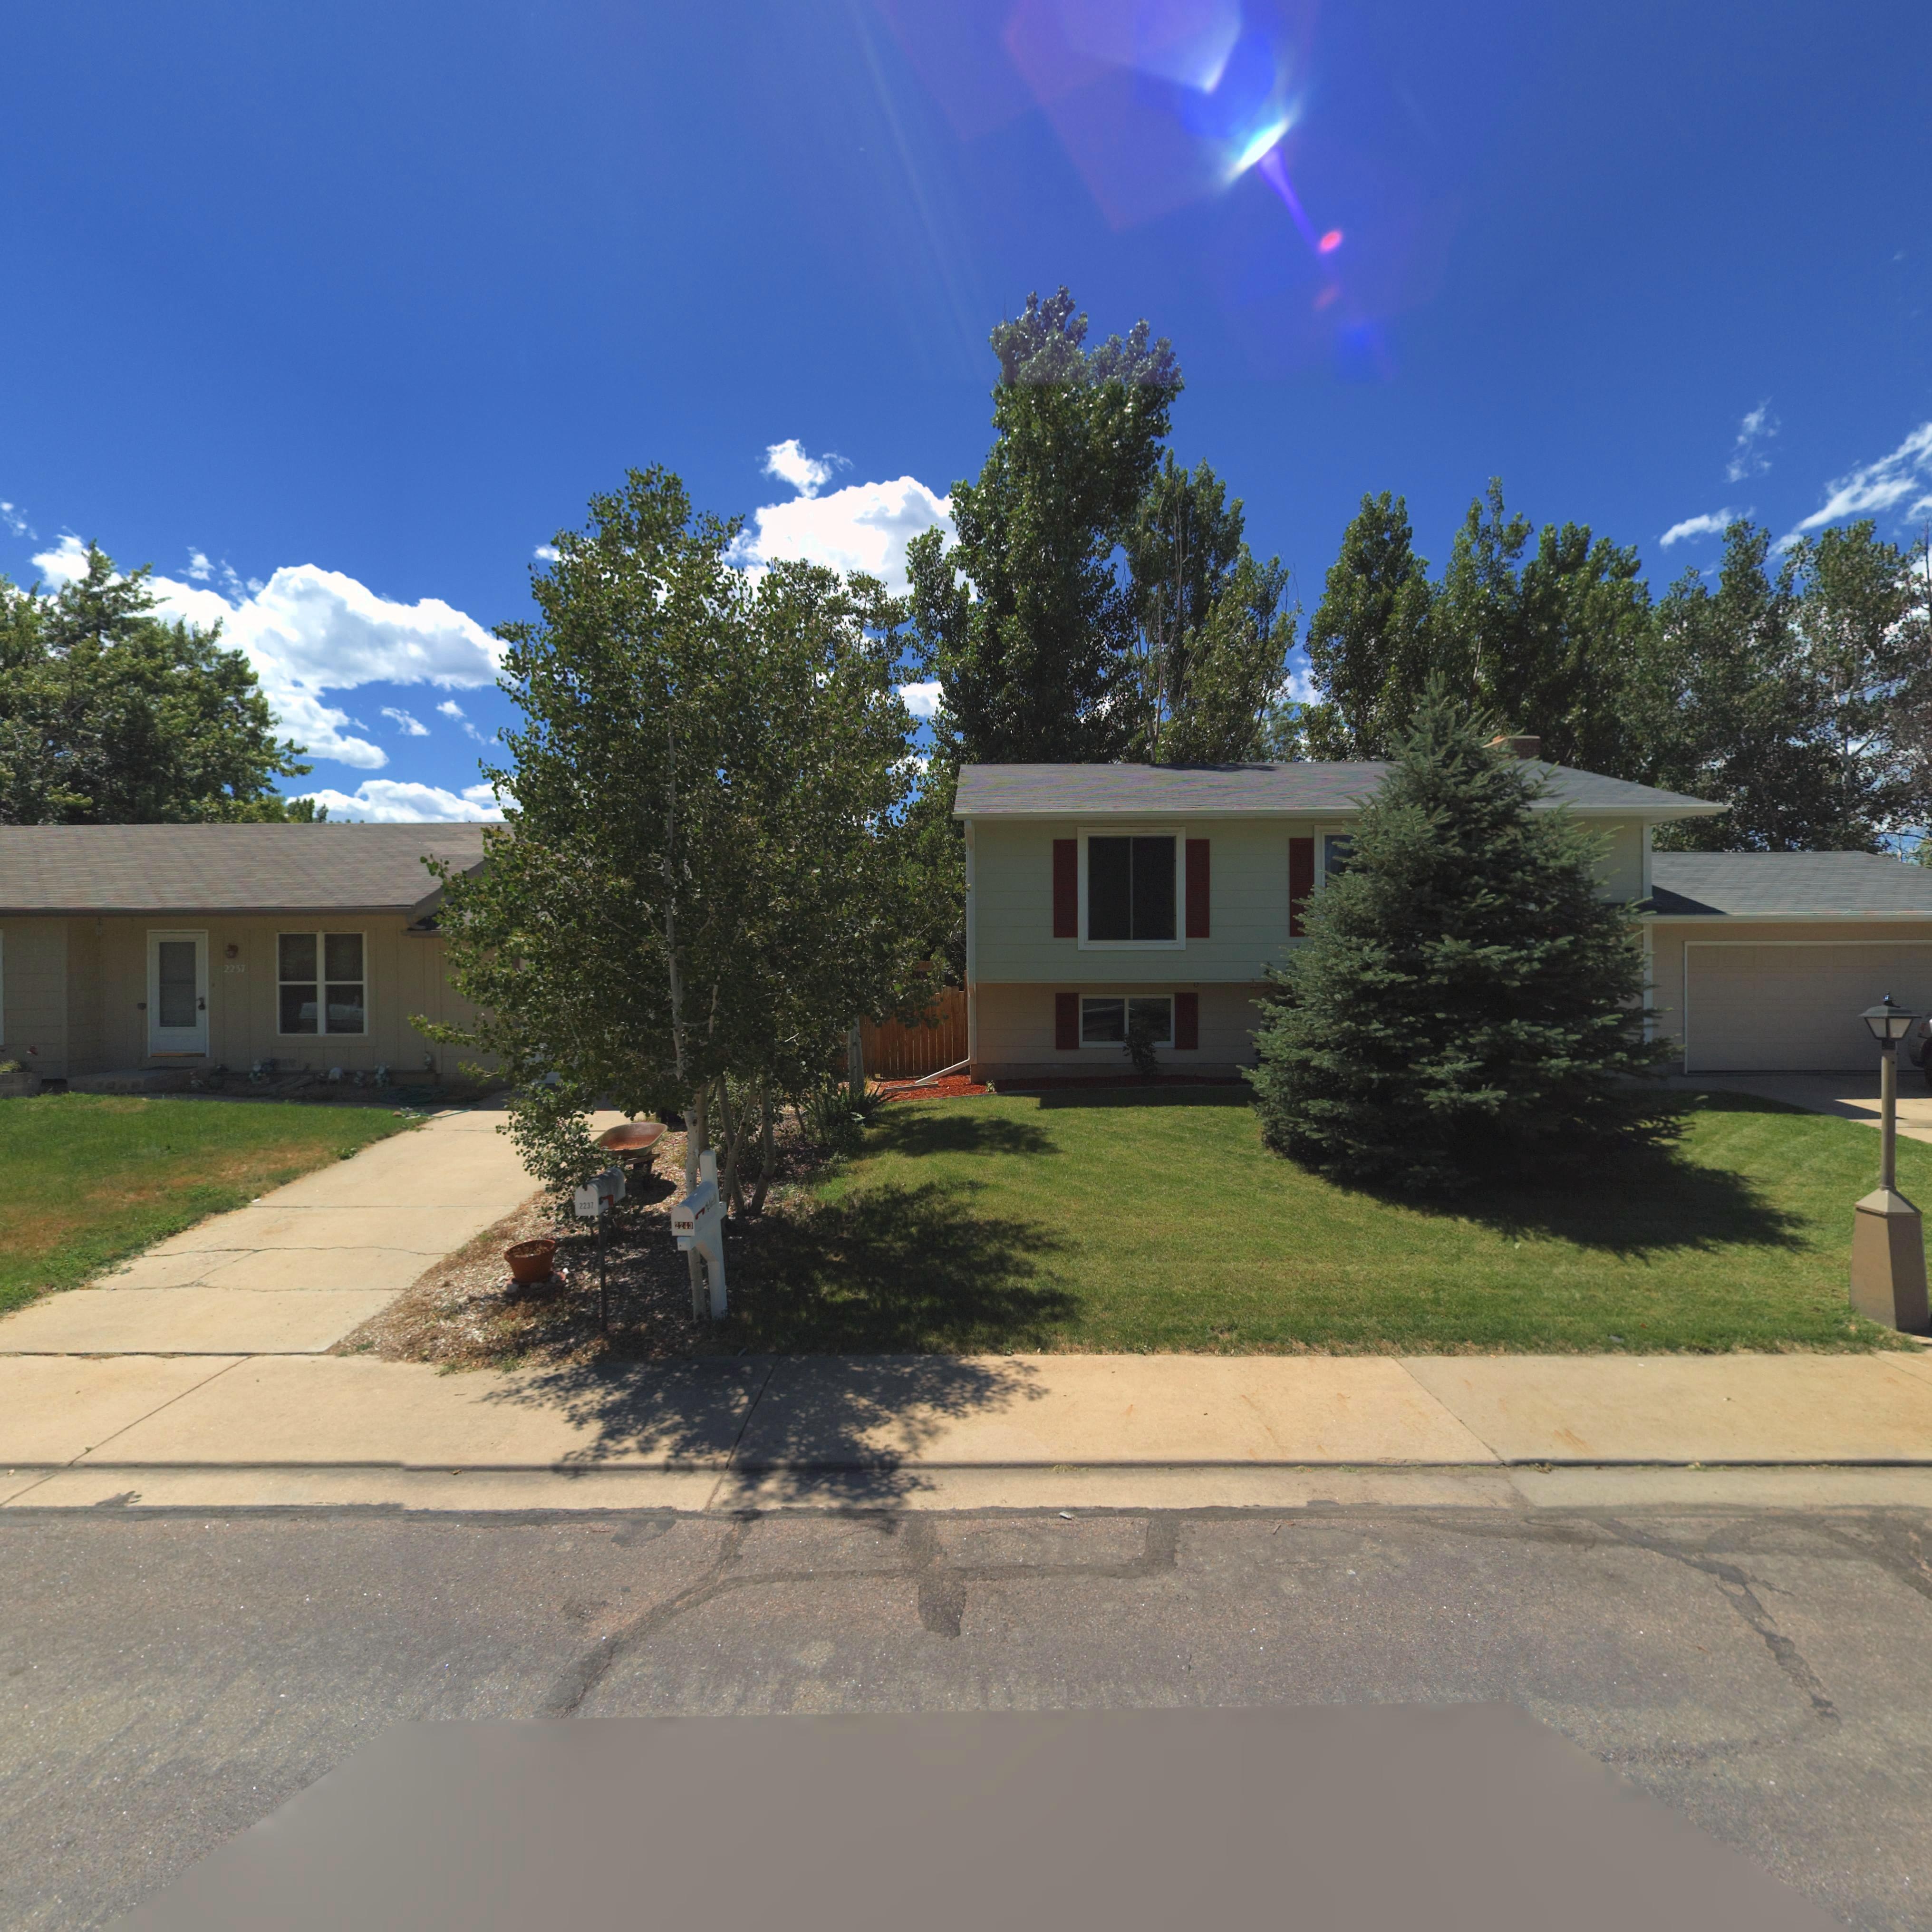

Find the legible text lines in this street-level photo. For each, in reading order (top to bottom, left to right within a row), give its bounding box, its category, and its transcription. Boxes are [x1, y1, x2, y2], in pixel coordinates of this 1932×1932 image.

[222, 964, 246, 973] StreetNumber: 2237
[579, 1202, 593, 1209] StreetNumber: 2237
[674, 1221, 693, 1229] StreetNumber:  2243